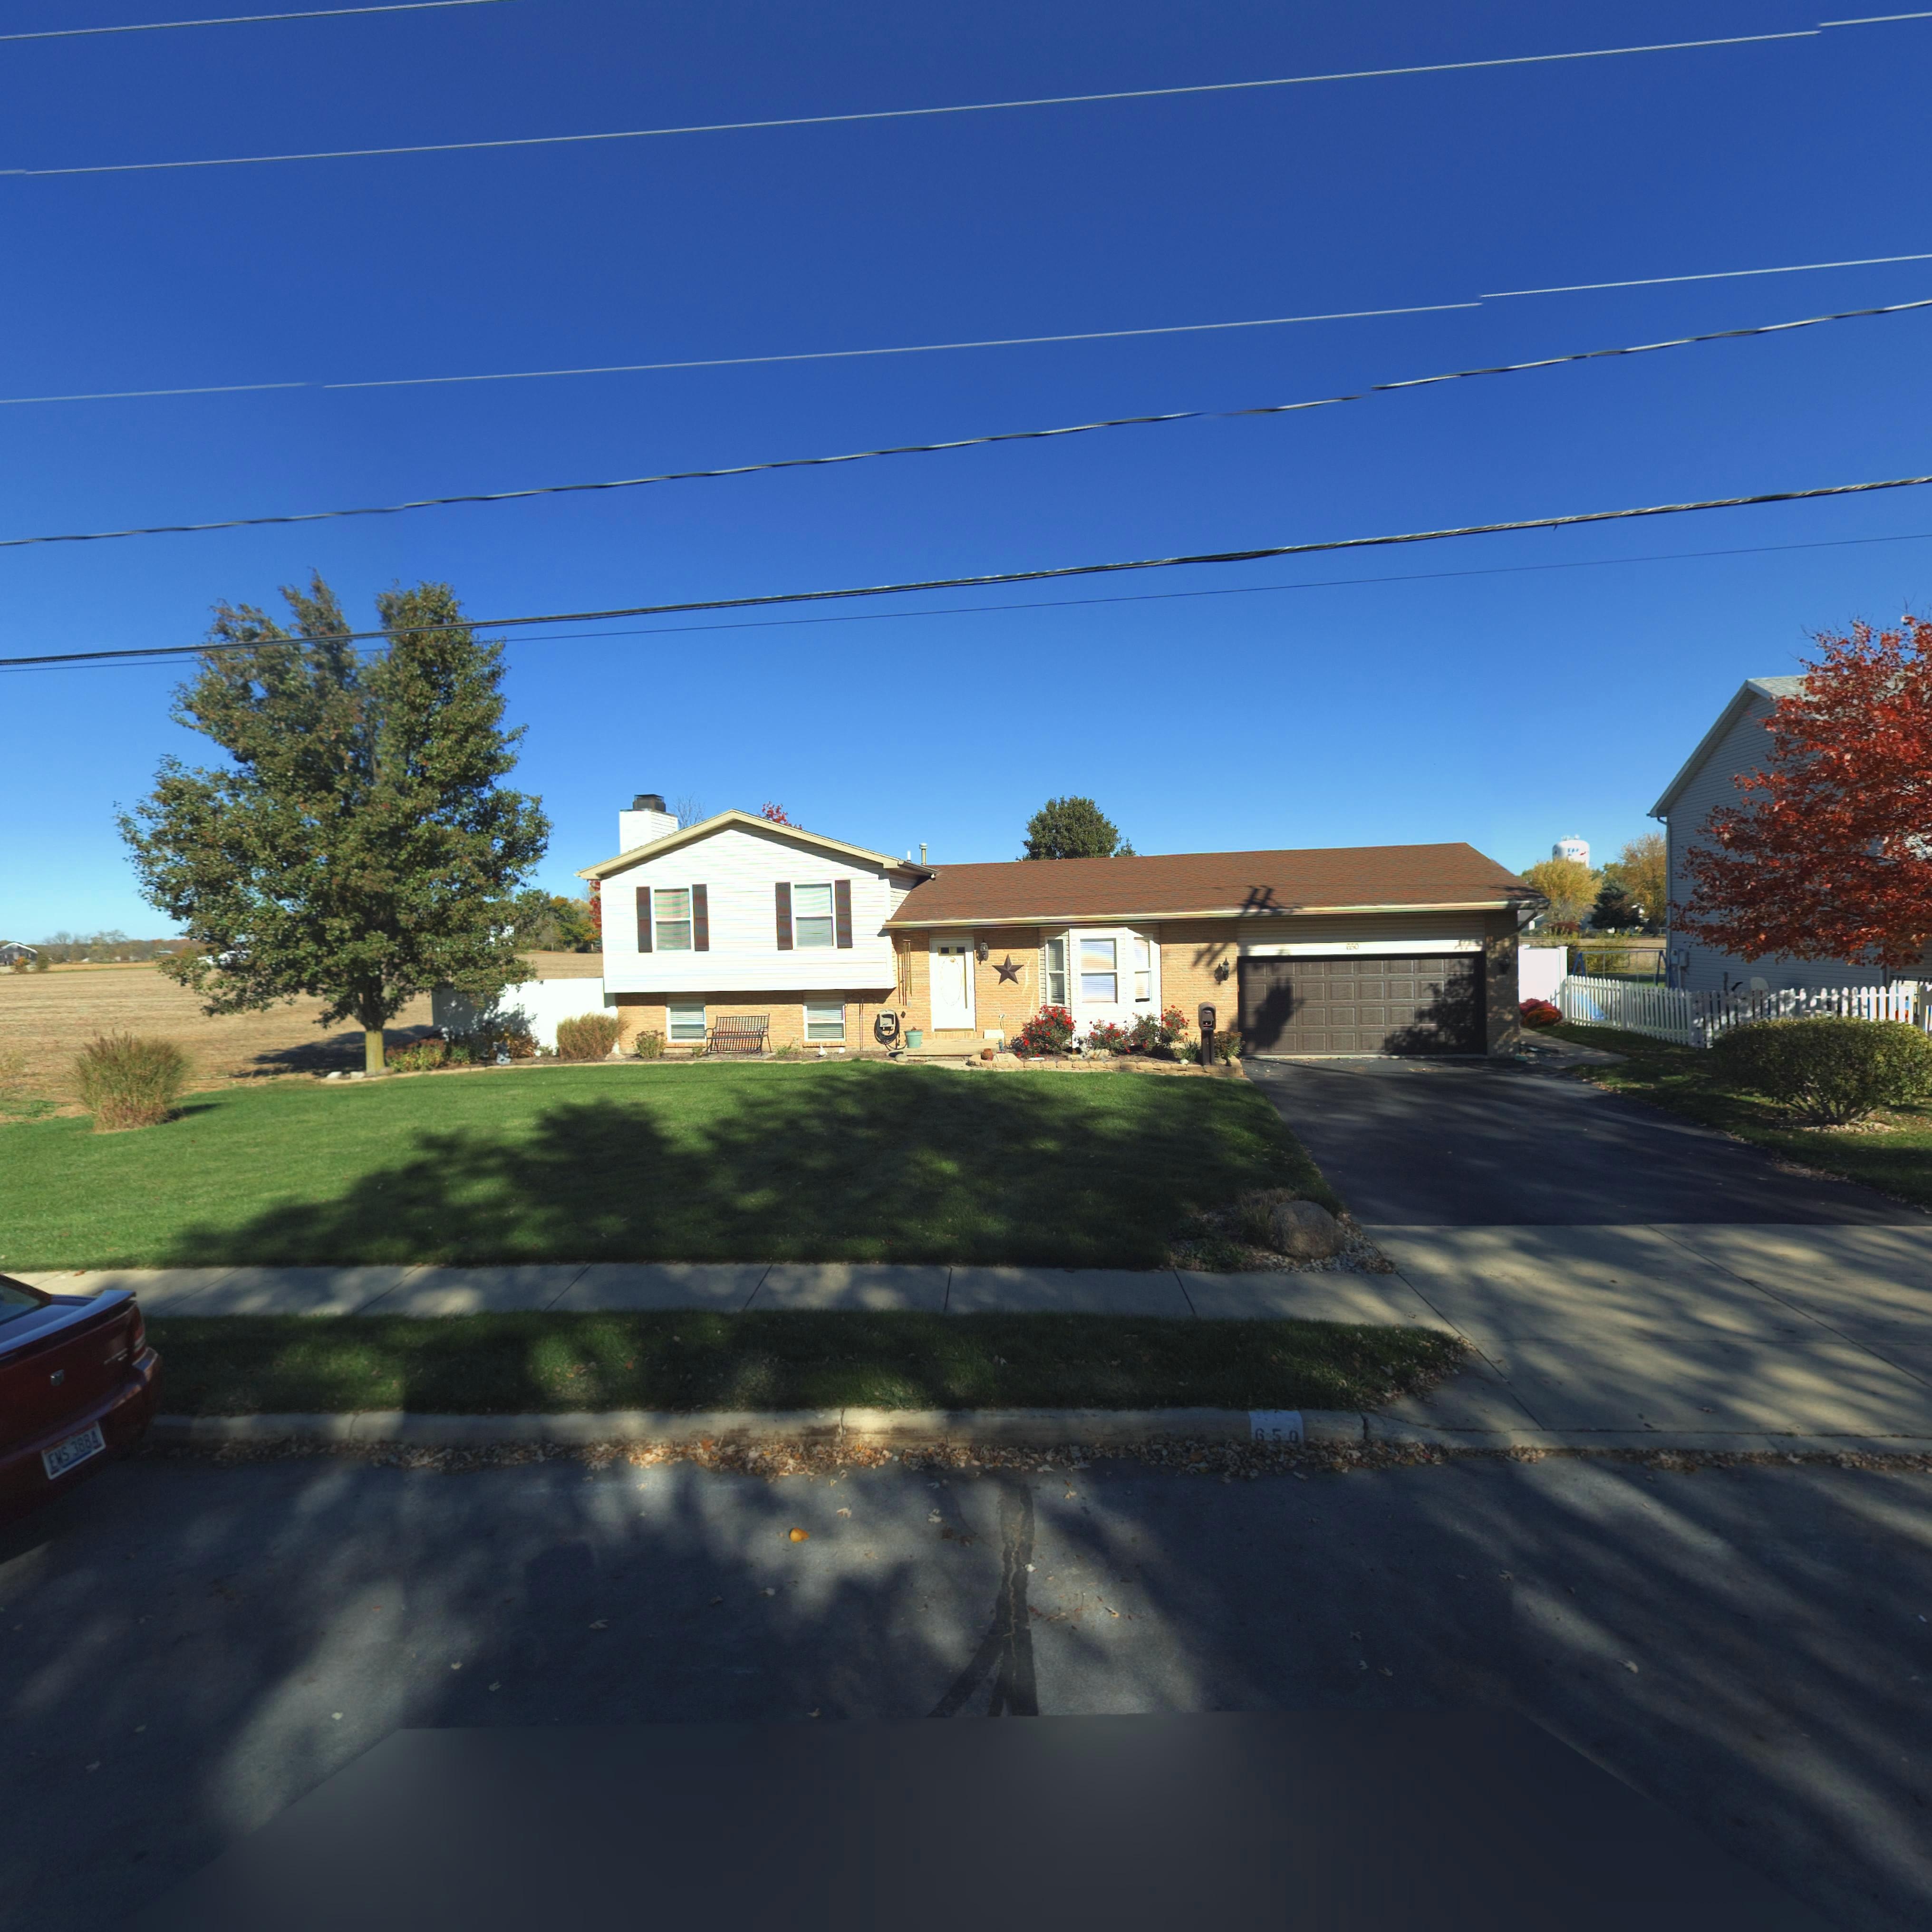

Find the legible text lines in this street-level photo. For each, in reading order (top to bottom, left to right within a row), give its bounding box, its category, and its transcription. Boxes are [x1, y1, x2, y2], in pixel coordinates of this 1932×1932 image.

[1345, 943, 1359, 950] StreetNumber: 650
[1255, 1427, 1299, 1445] StreetNumber: 650
[46, 1427, 100, 1472] None: EMS 3884